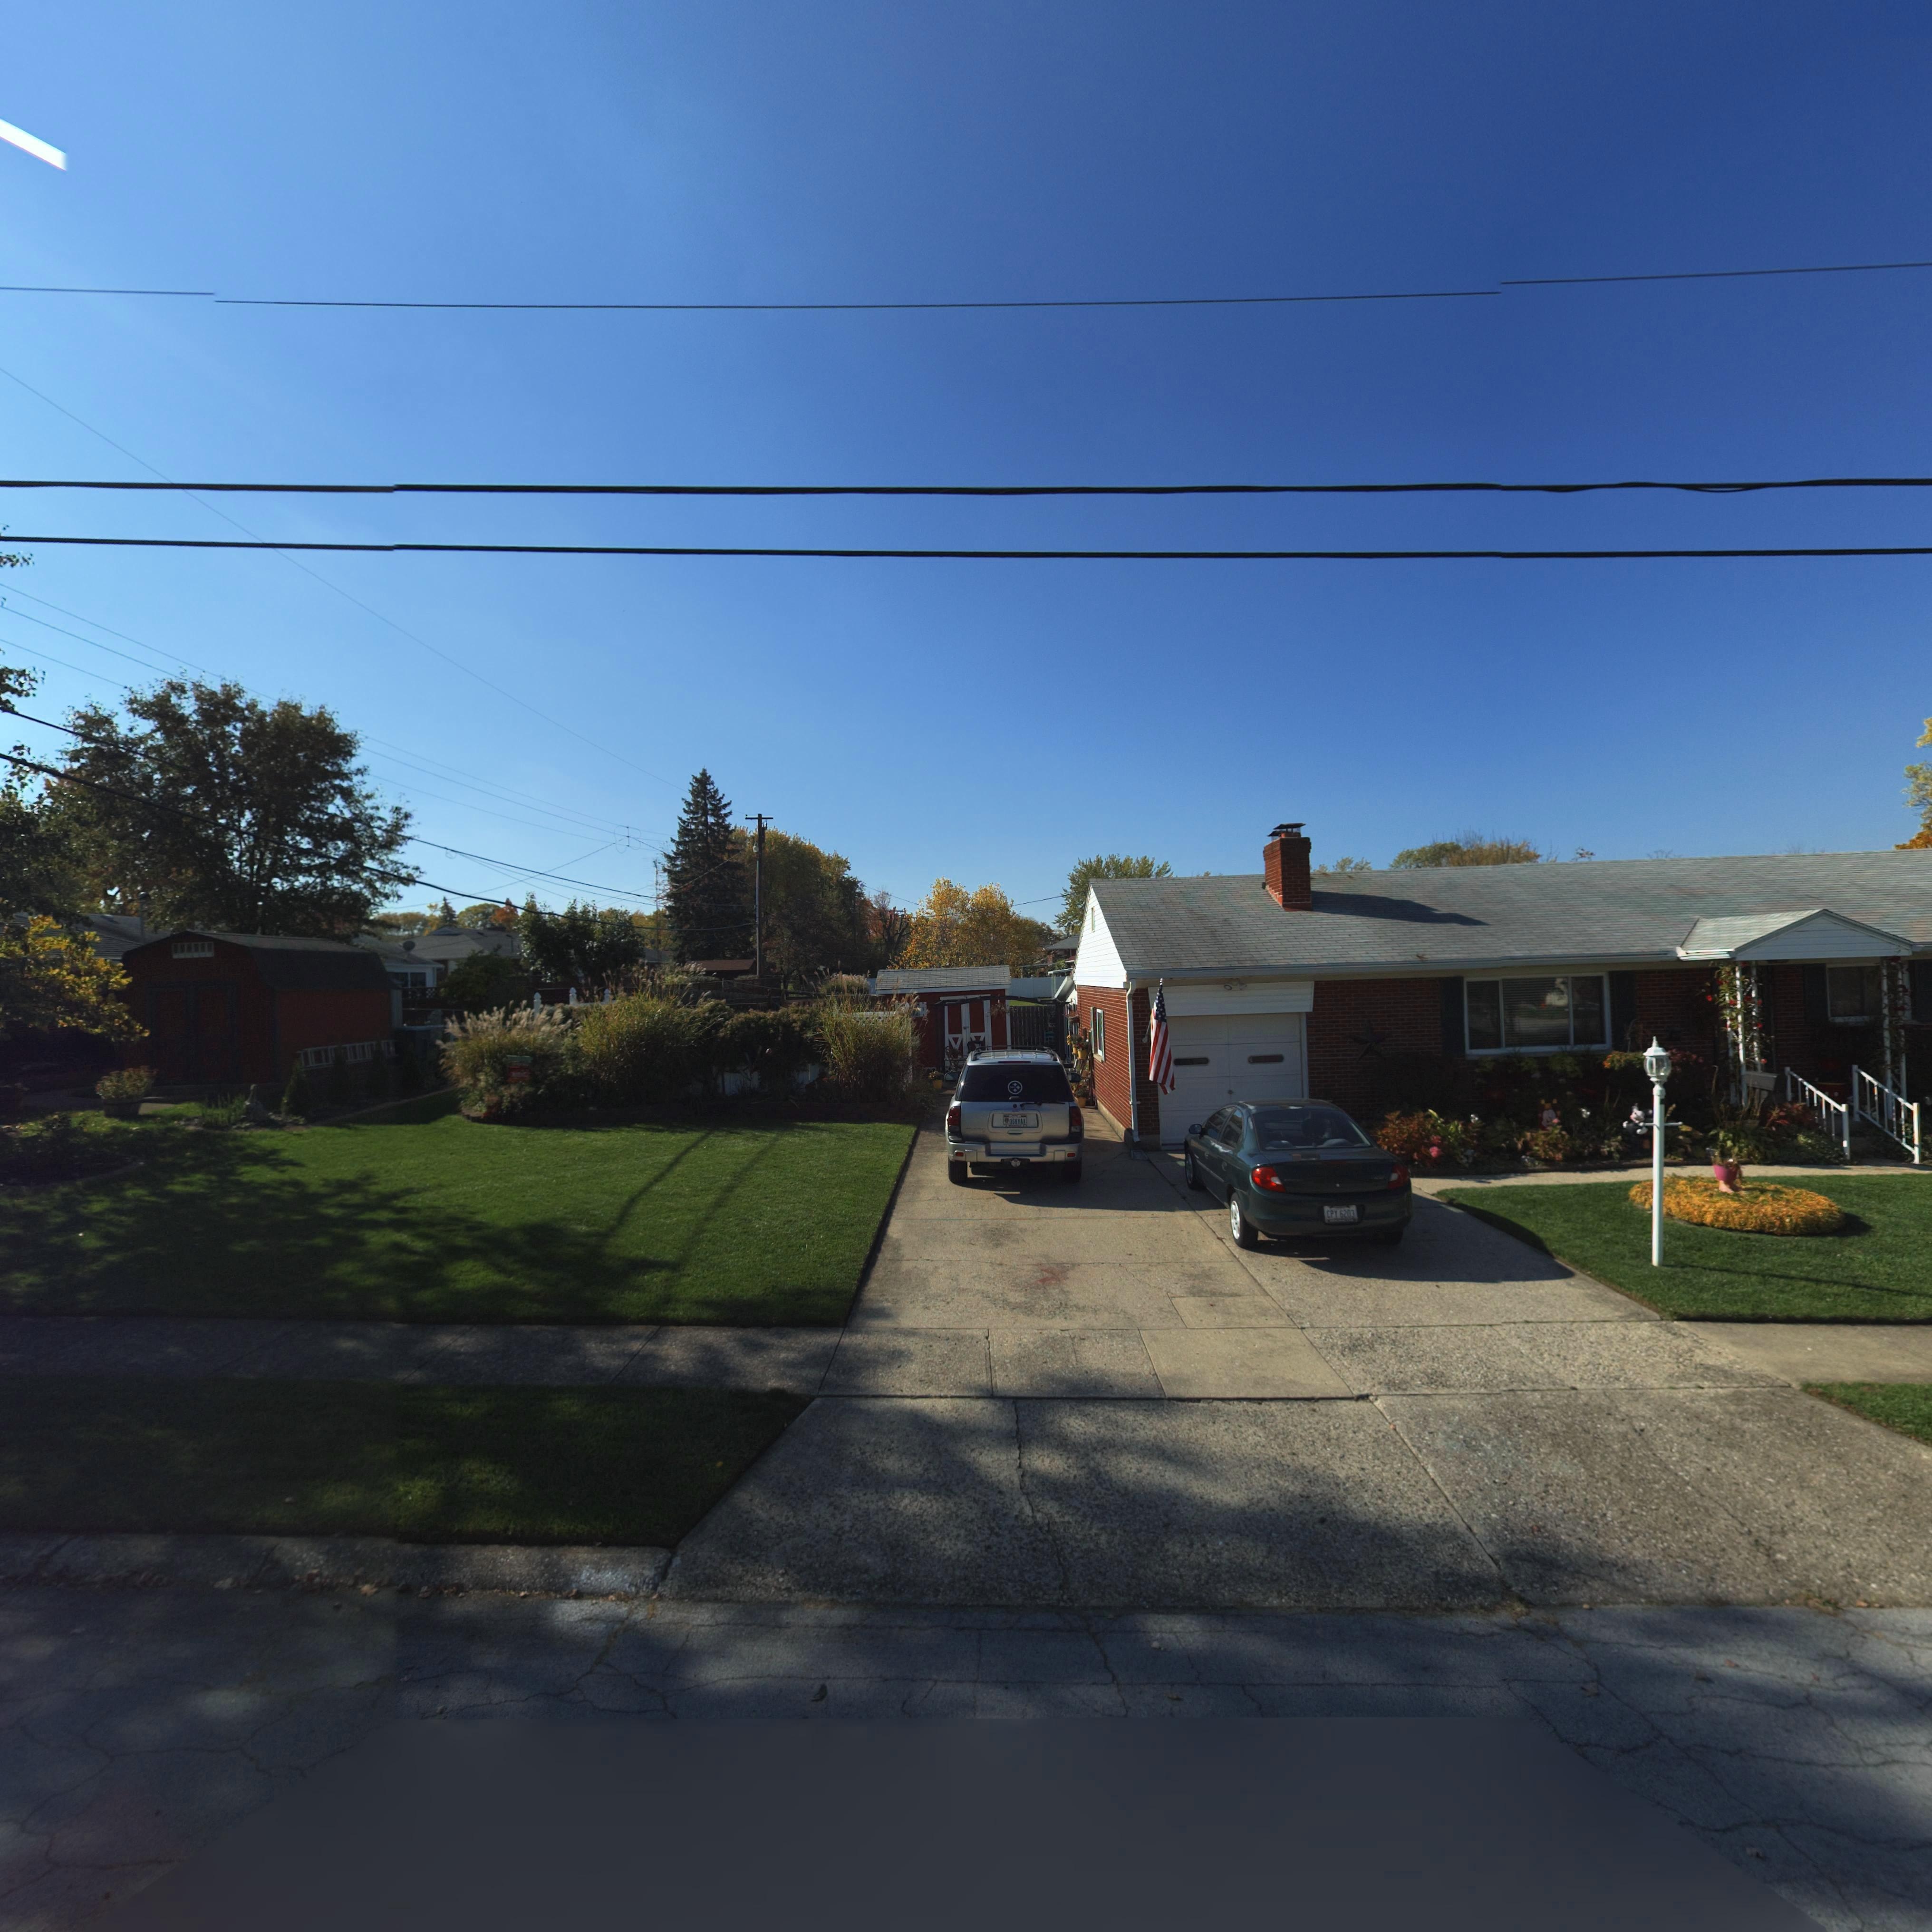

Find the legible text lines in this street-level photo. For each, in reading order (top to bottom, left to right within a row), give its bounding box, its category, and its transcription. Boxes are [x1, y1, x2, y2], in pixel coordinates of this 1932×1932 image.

[1009, 1118, 1026, 1125] None: 069TAX
[1326, 1209, 1355, 1218] None: CPY 6203